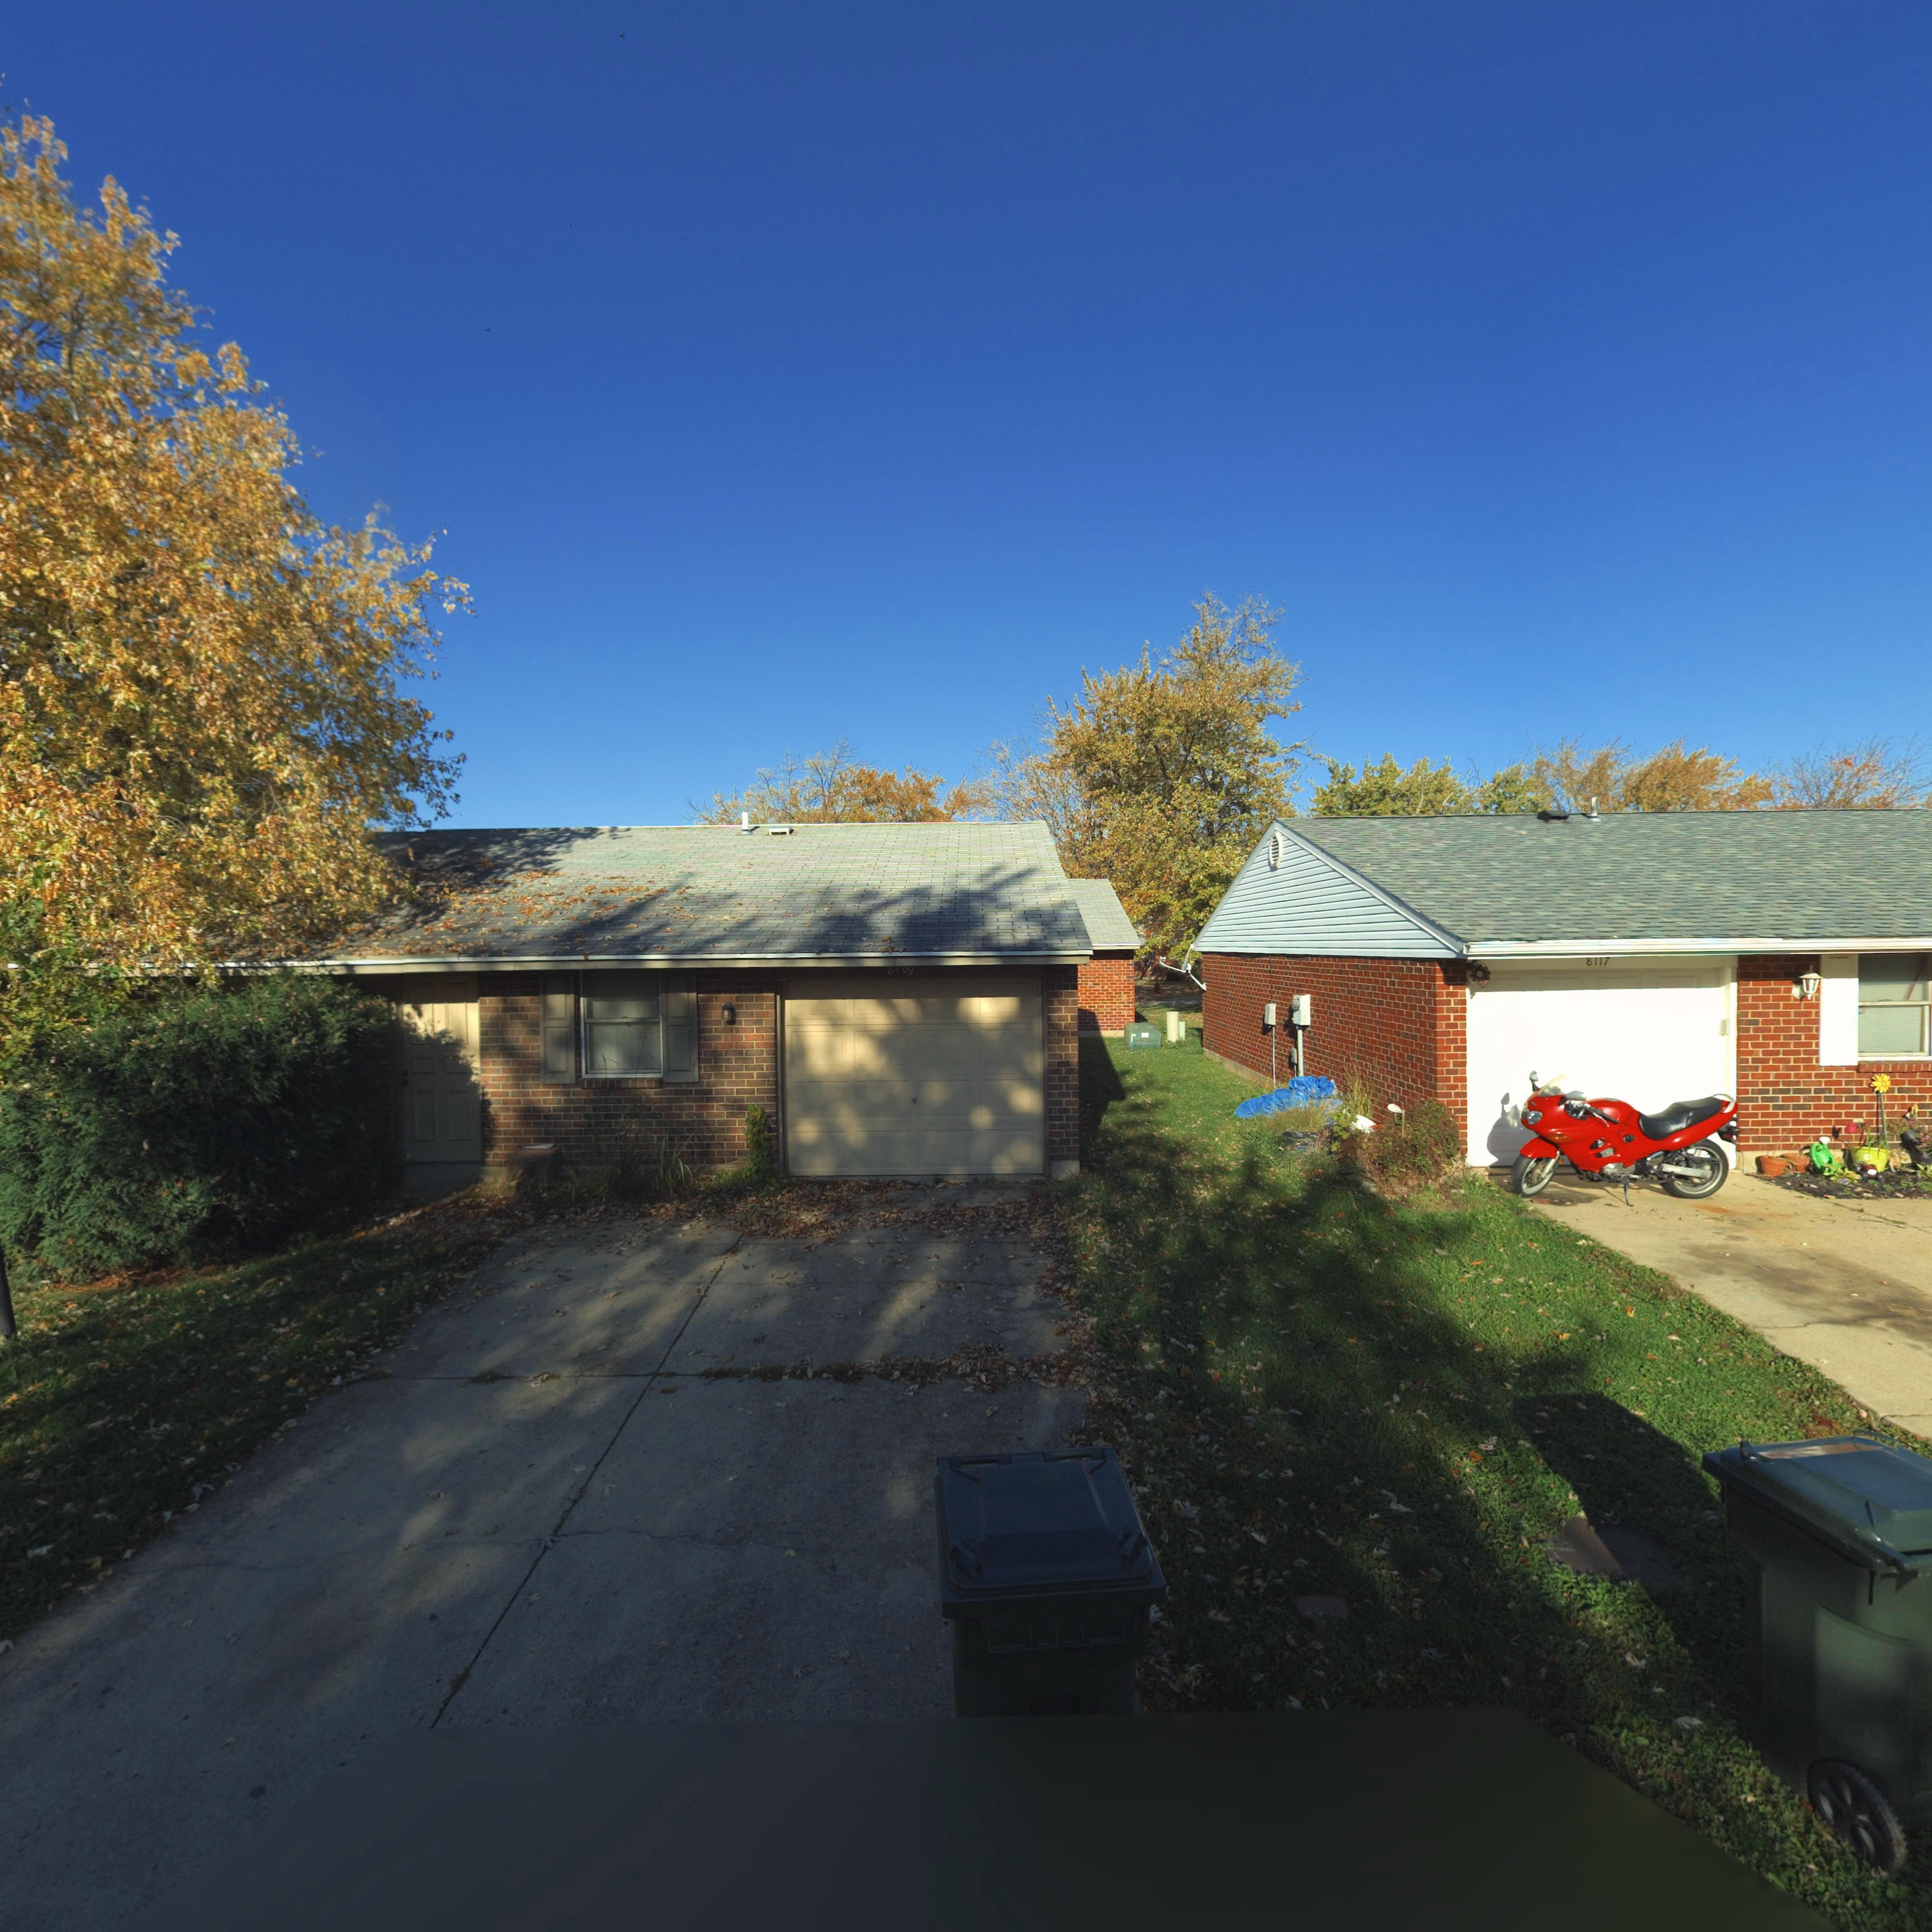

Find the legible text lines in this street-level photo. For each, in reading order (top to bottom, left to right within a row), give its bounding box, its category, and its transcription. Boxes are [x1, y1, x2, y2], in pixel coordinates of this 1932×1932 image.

[1585, 956, 1612, 967] StreetNumber: 8117
[886, 965, 915, 977] StreetNumber: 8109